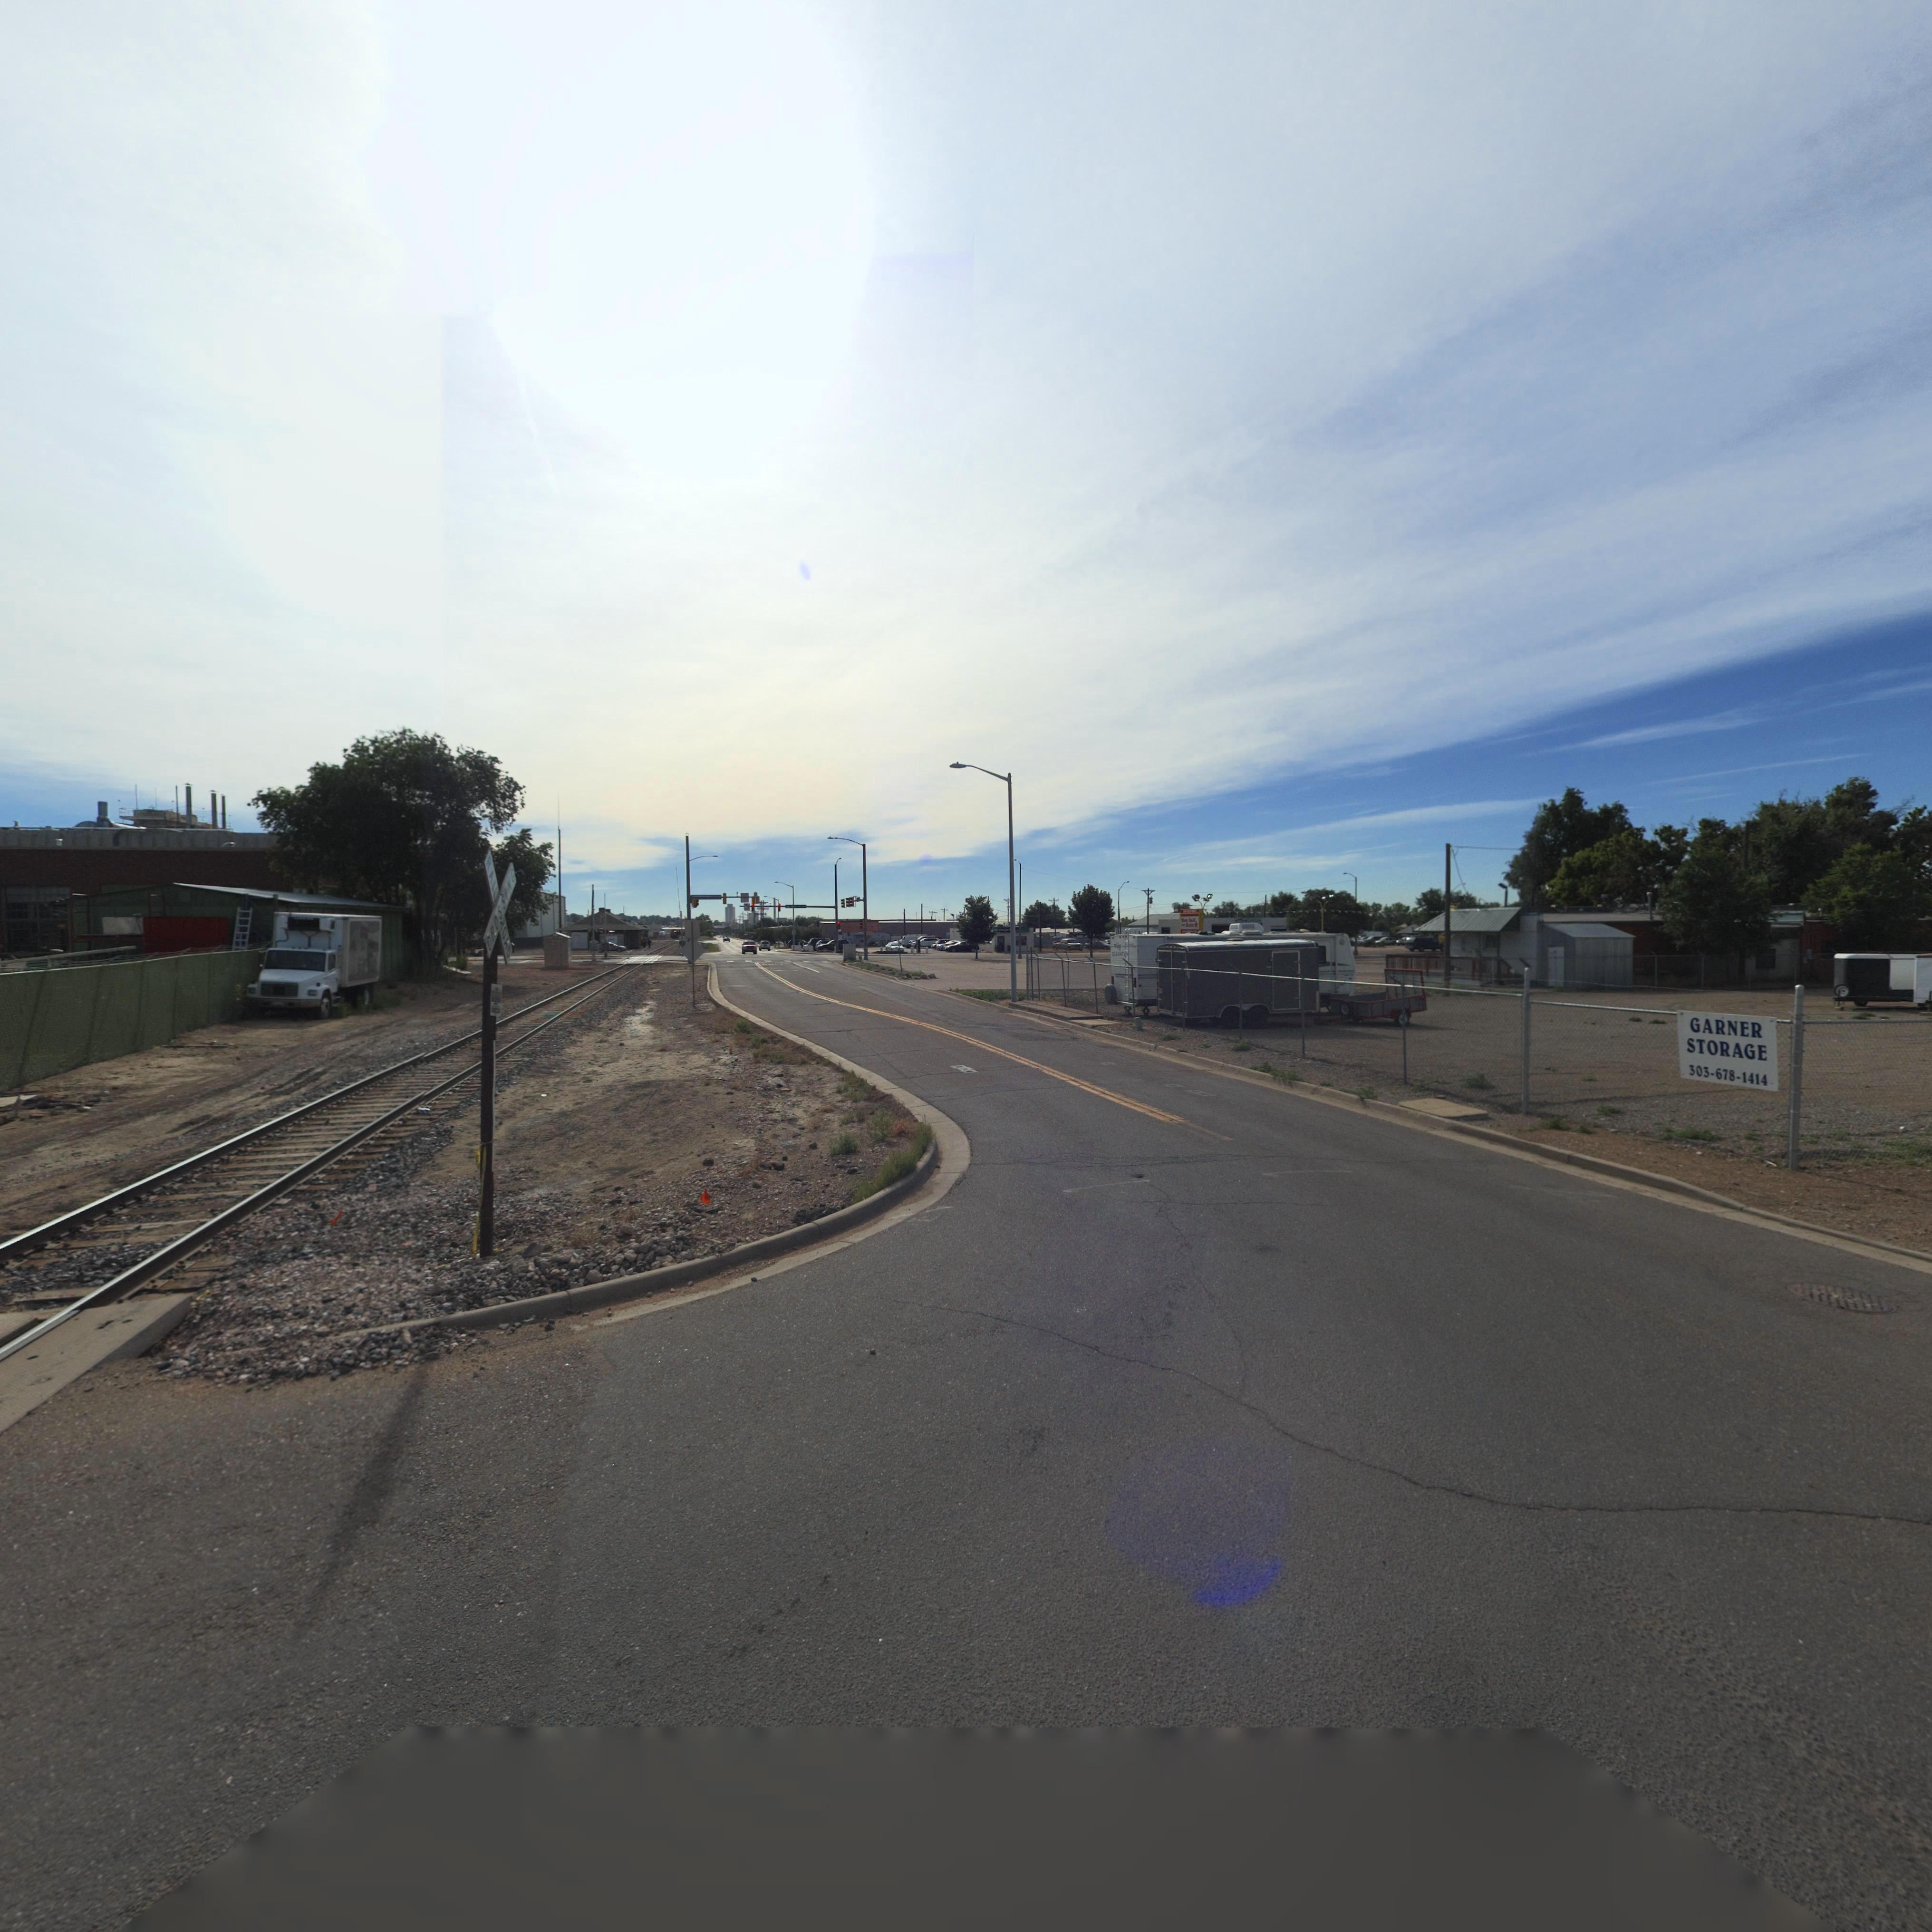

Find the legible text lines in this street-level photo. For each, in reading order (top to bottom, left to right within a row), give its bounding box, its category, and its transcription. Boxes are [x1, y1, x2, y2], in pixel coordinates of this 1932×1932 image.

[1688, 1016, 1764, 1038] BusinessName: GARNER
[1685, 1037, 1769, 1062] BusinessName: STORAGE